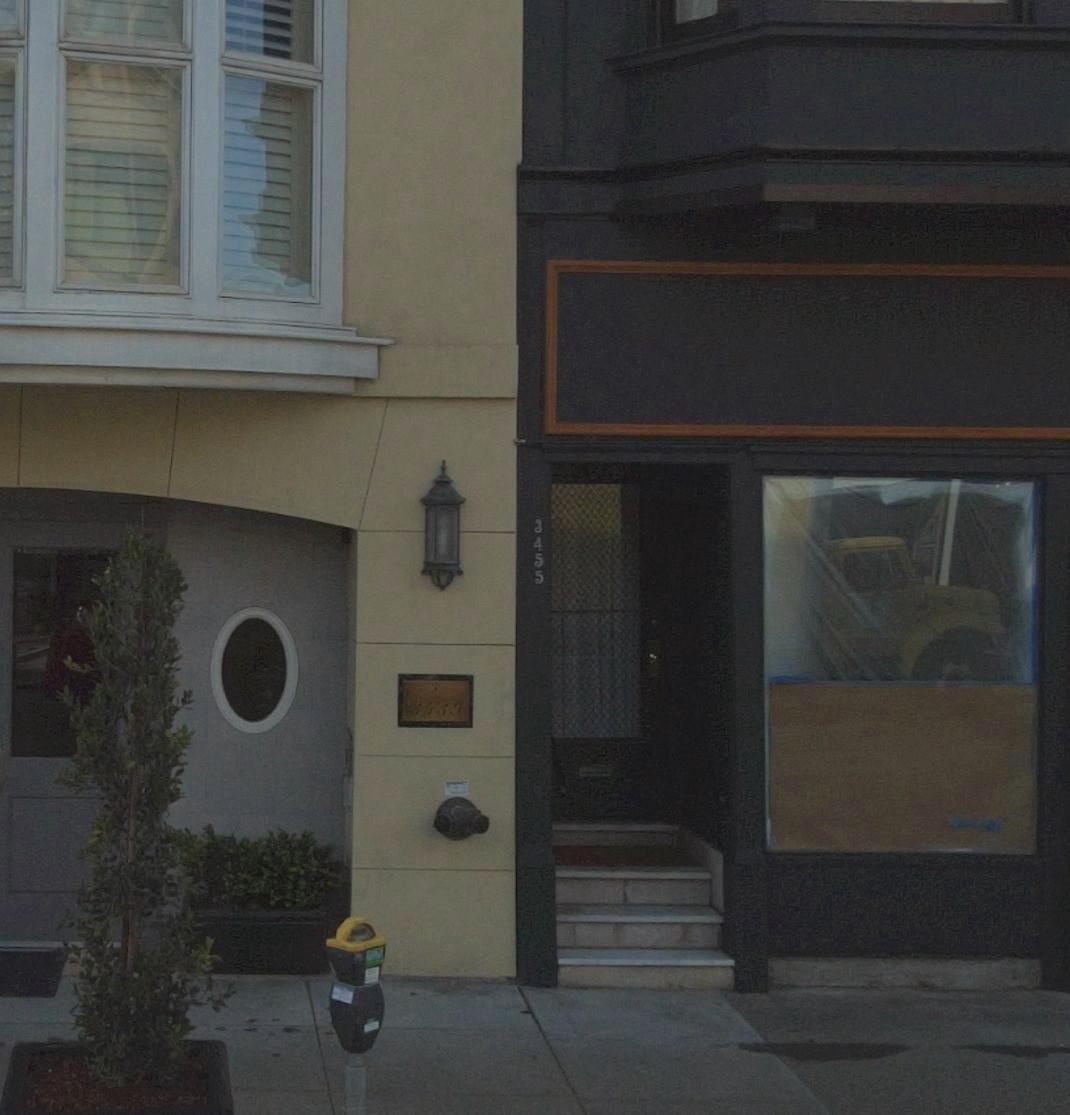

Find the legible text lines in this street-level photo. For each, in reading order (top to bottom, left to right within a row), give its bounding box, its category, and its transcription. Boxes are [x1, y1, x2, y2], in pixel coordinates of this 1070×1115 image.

[530, 516, 546, 587] StreetNumber: 3455